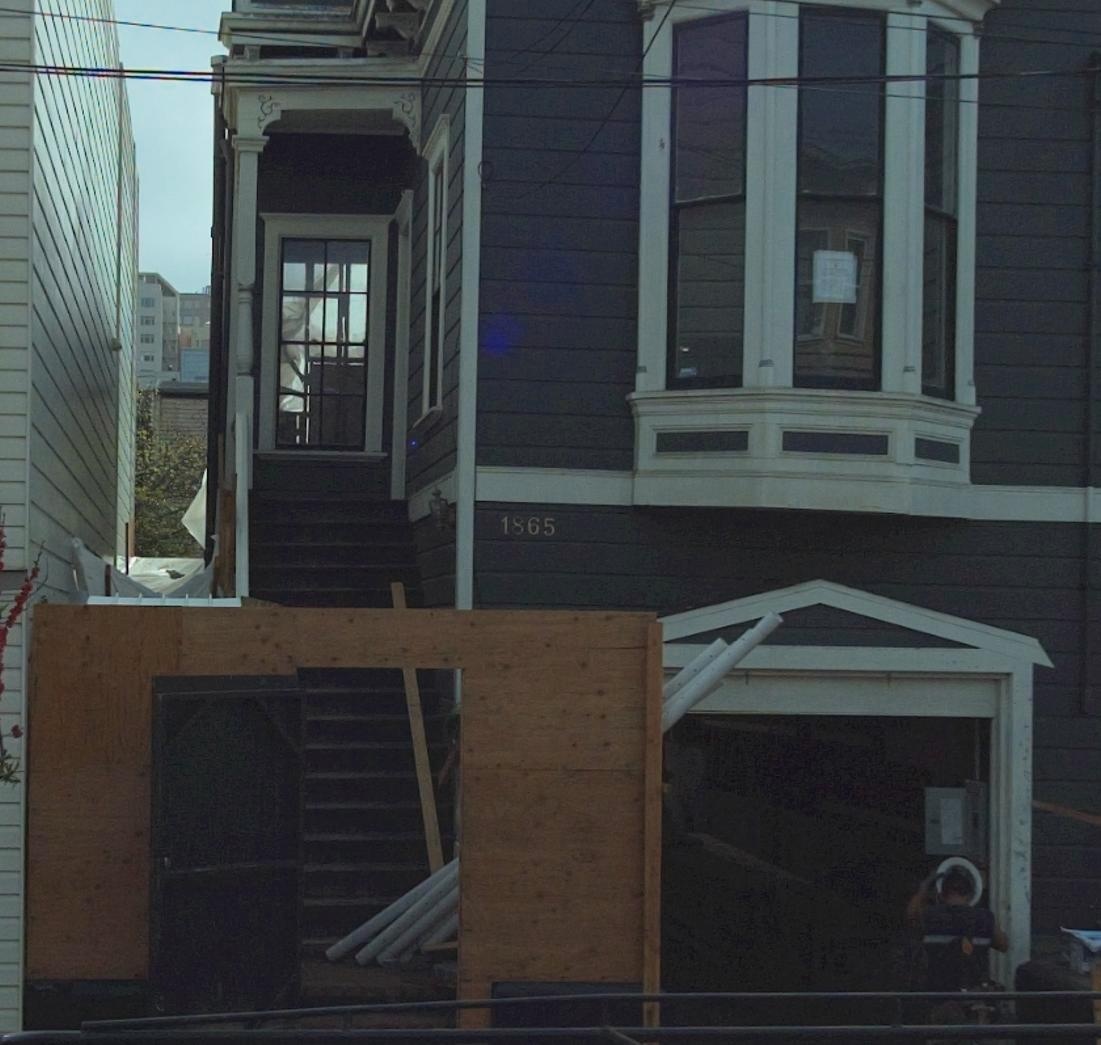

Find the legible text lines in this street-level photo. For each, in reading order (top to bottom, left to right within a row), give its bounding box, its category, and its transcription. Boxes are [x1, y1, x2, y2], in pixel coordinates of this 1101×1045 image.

[499, 513, 557, 538] StreetNumber: 1865